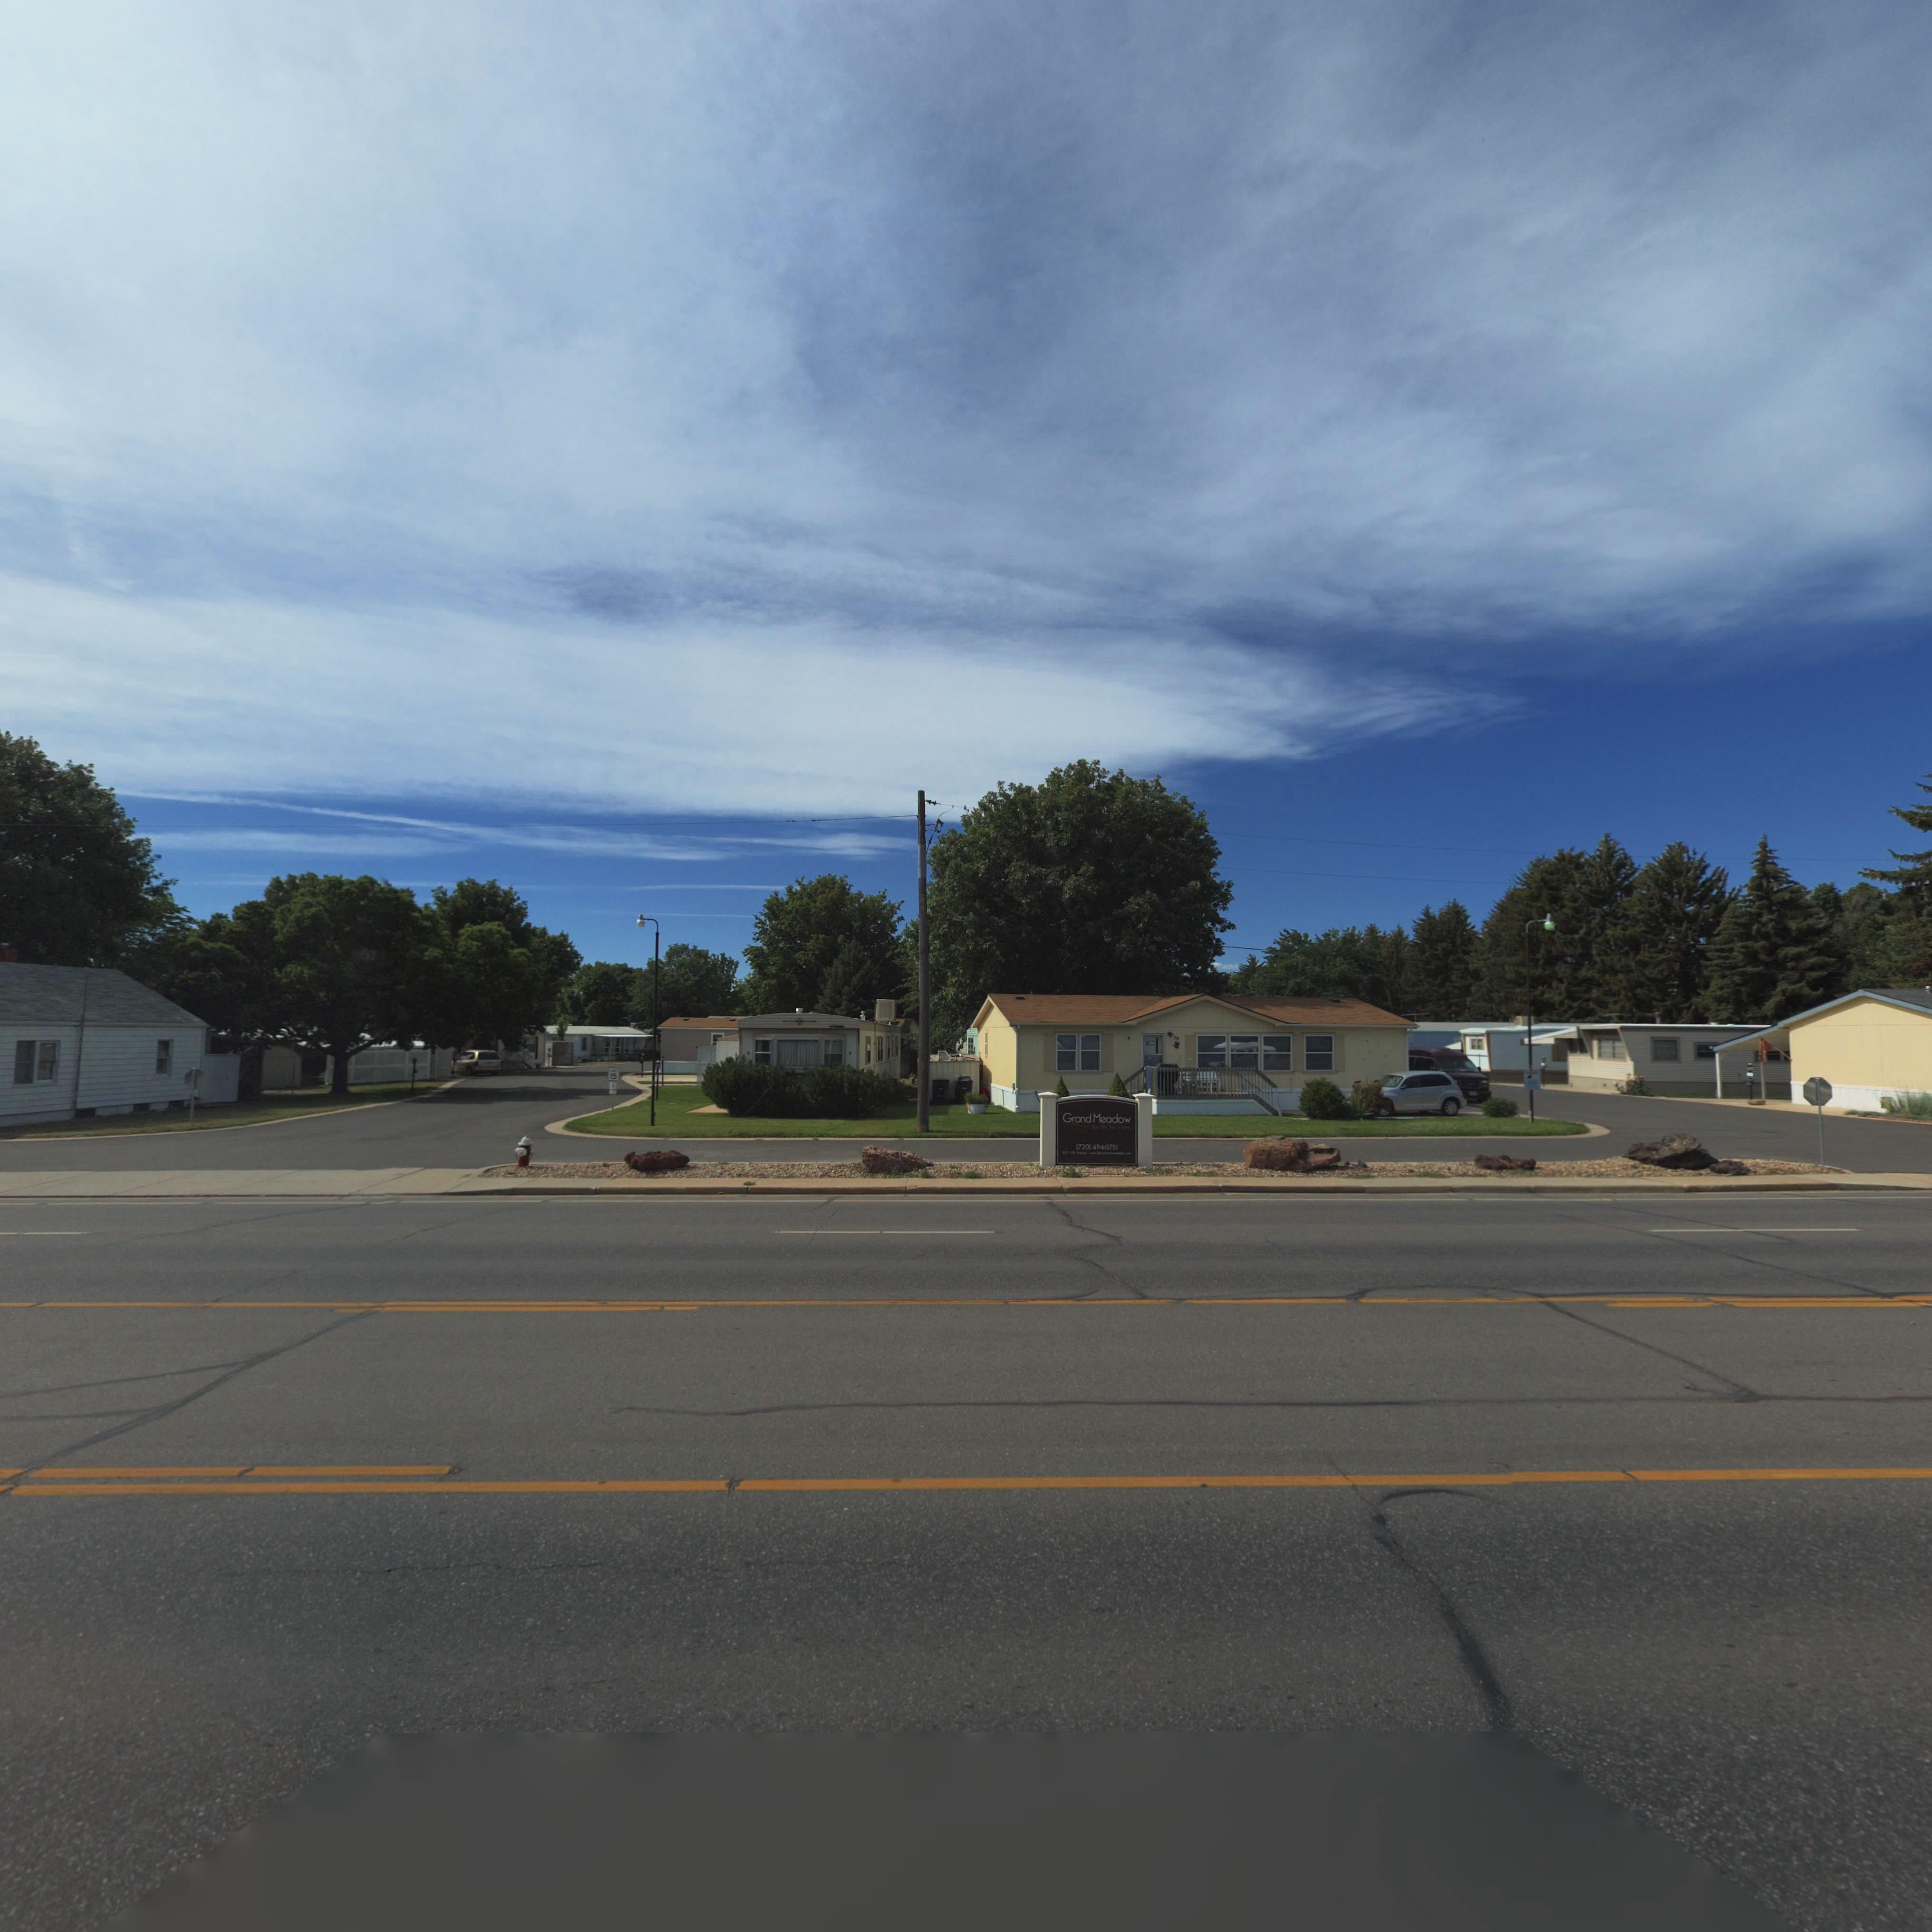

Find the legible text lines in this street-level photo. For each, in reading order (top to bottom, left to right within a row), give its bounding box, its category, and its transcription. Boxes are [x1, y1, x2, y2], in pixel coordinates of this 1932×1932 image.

[1173, 1035, 1179, 1041] StreetNumber: 5*